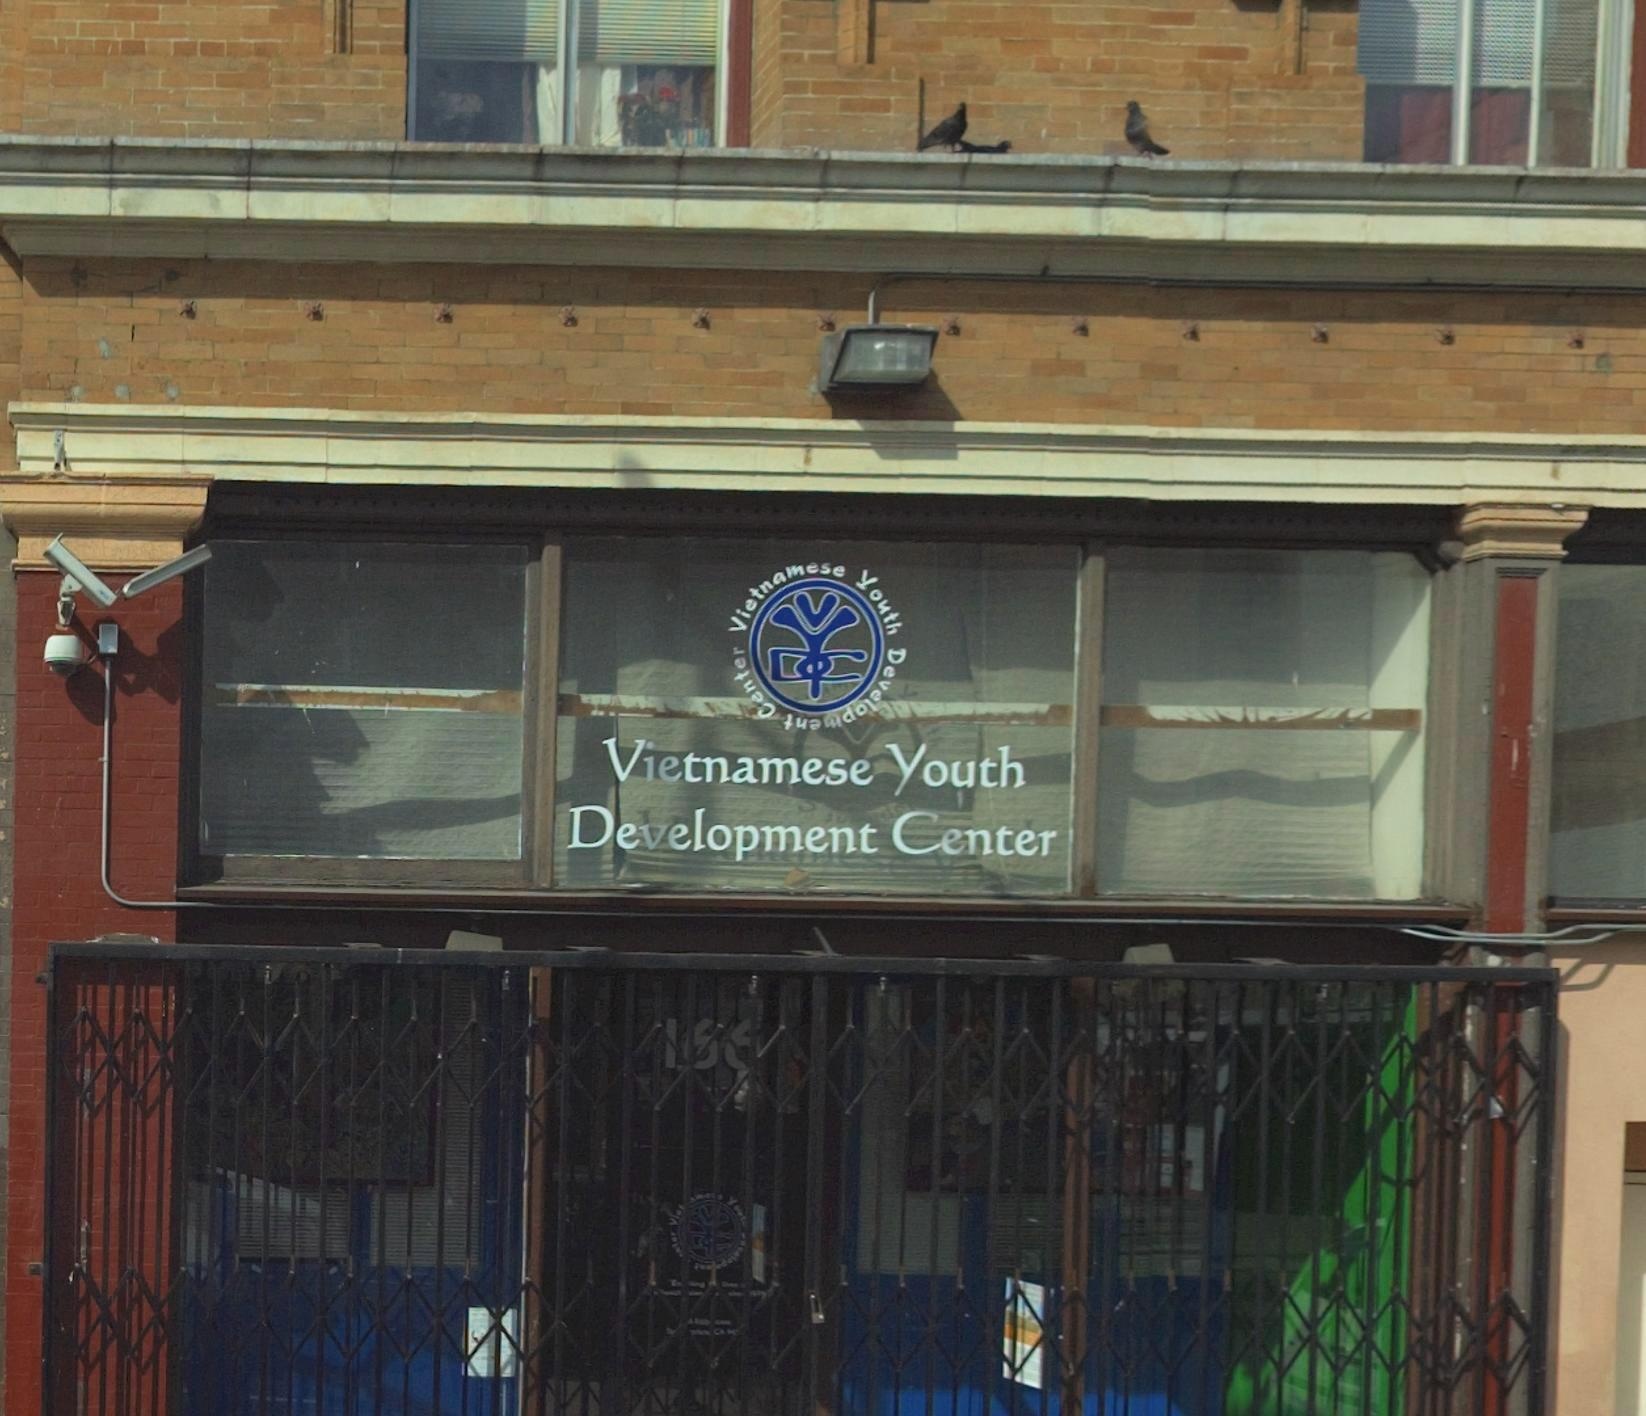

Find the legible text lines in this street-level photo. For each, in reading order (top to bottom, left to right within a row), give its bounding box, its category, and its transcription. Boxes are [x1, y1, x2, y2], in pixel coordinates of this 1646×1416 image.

[722, 556, 910, 639] BusinessName: Vietnamese Youth
[727, 638, 914, 738] BusinessName: ret*** *****o****D
[597, 734, 1029, 800] BusinessName: Vietnamese Youth
[565, 799, 1062, 865] BusinessName: Development Center
[723, 1189, 741, 1210] BusinessName: Y